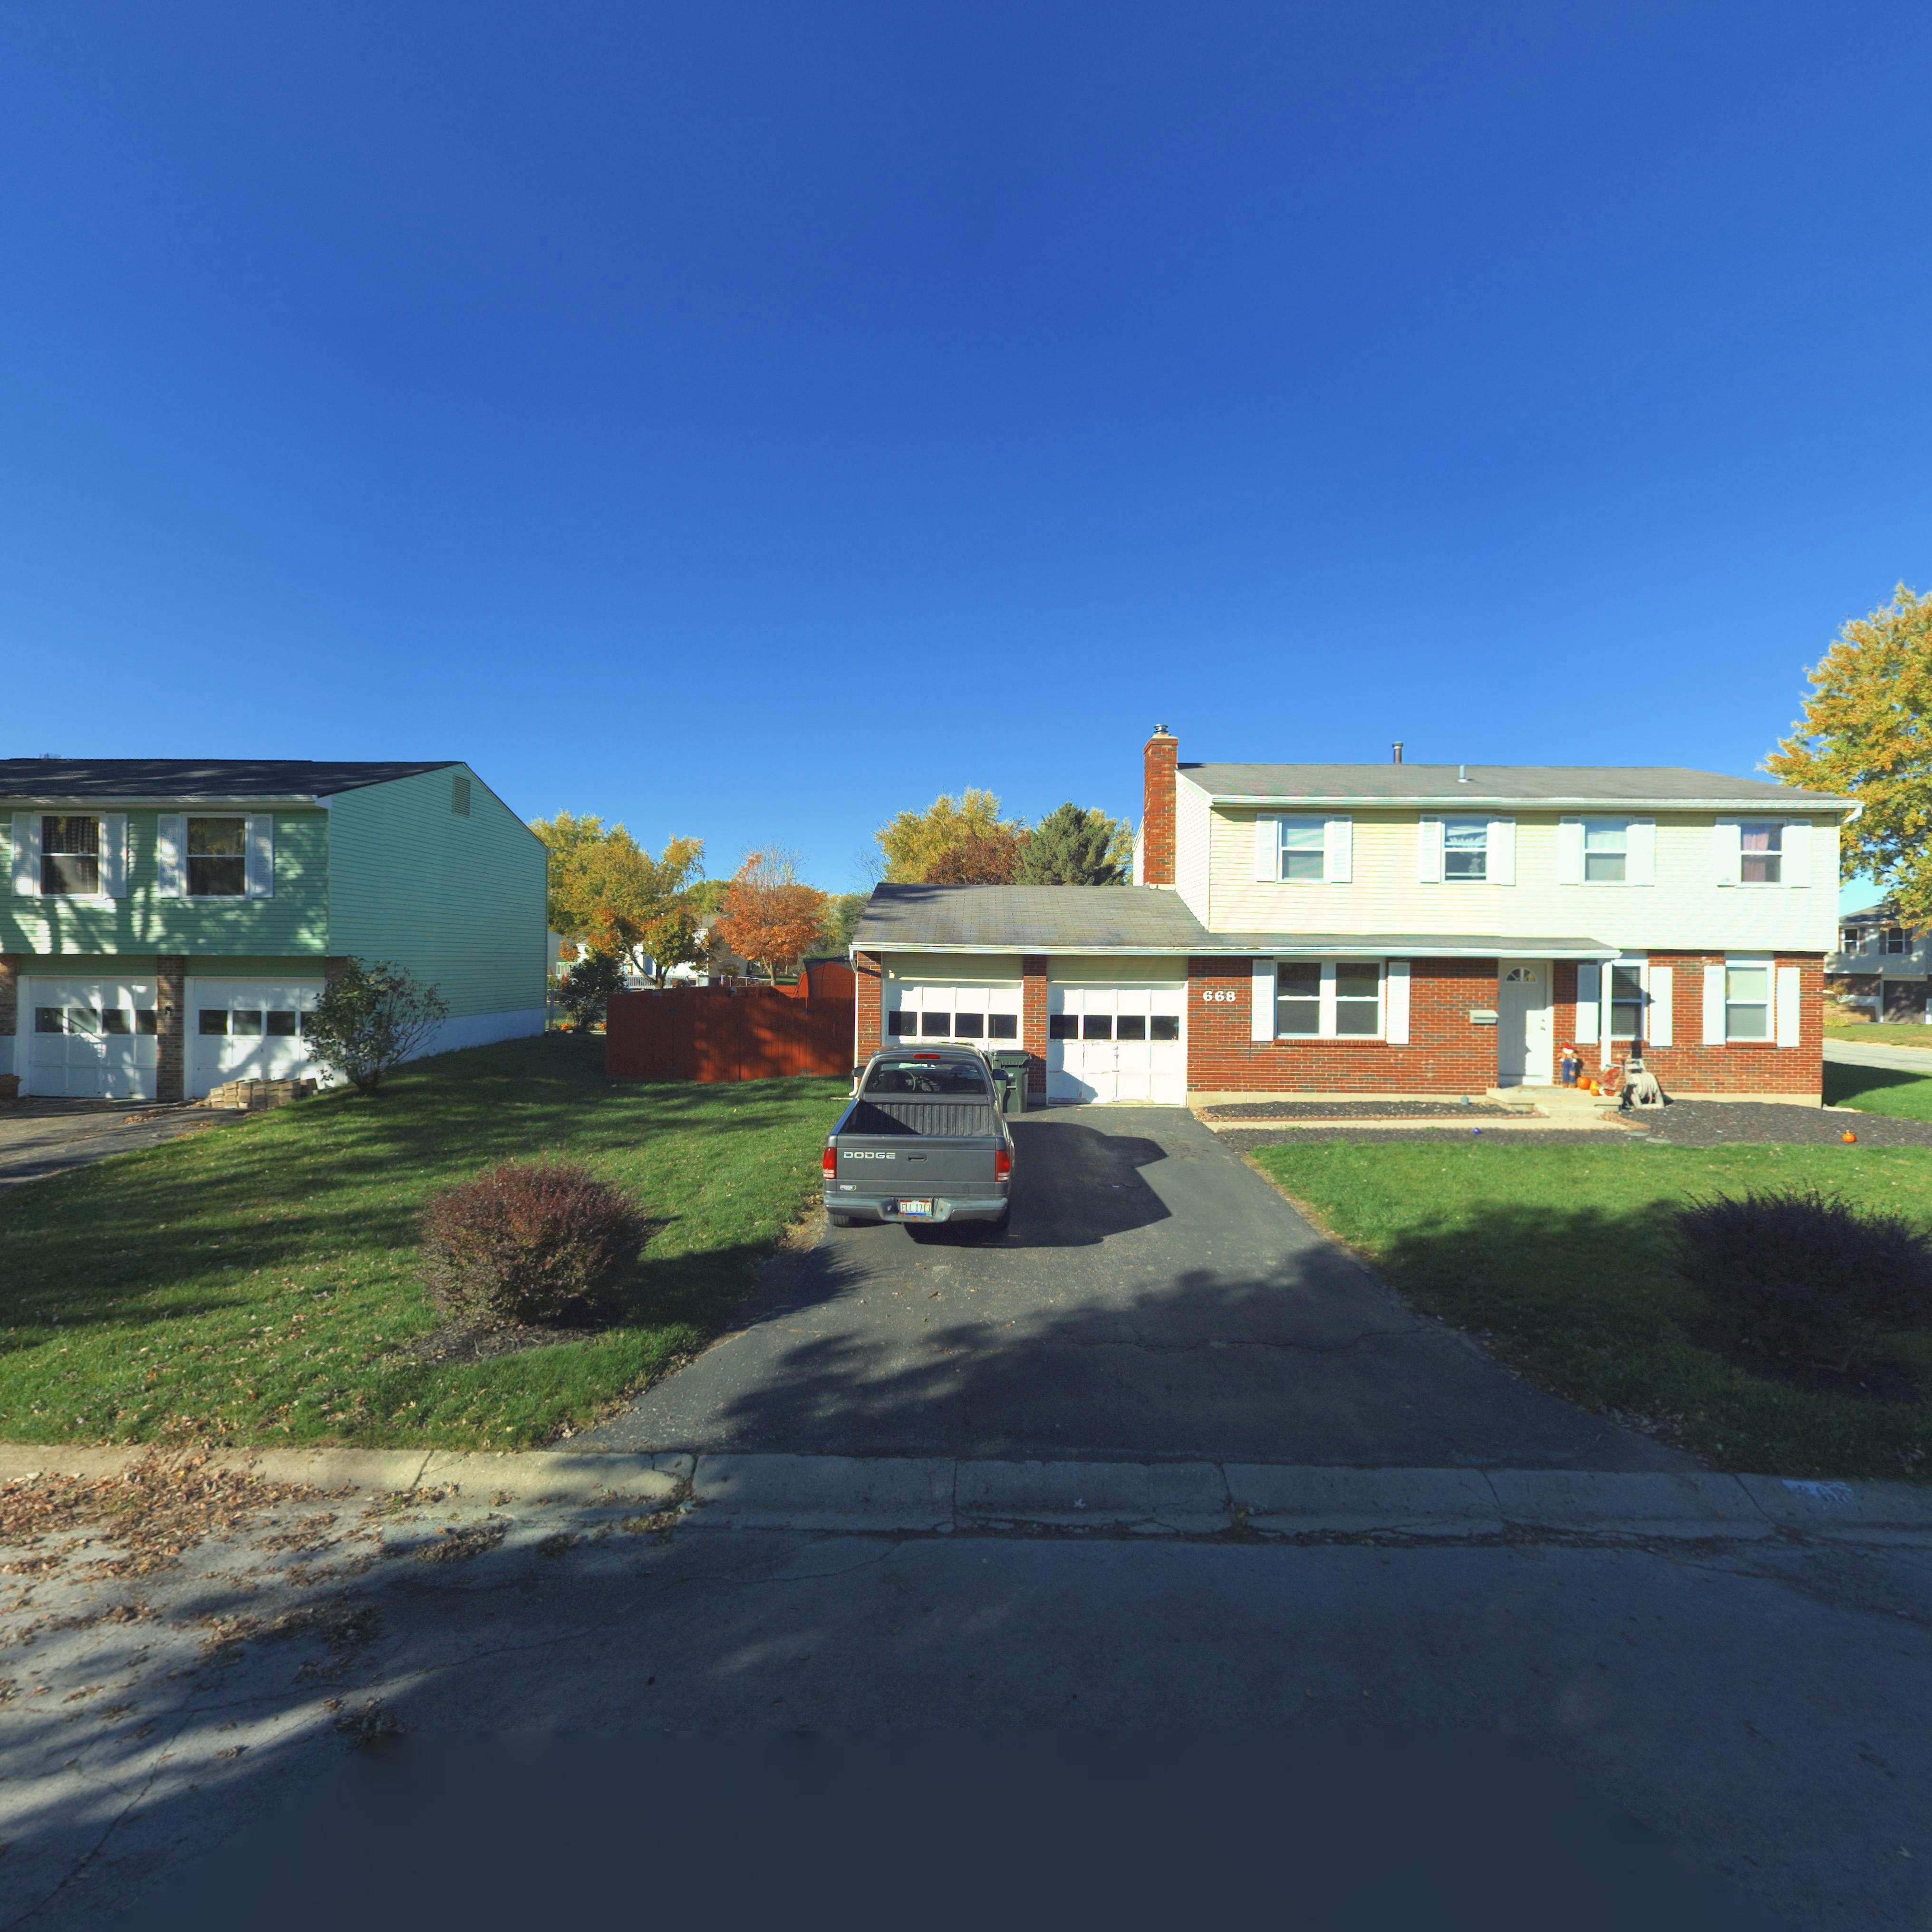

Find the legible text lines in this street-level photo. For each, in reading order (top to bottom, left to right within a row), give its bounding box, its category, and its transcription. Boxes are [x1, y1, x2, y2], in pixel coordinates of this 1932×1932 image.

[1202, 990, 1236, 1002] StreetNumber: 668